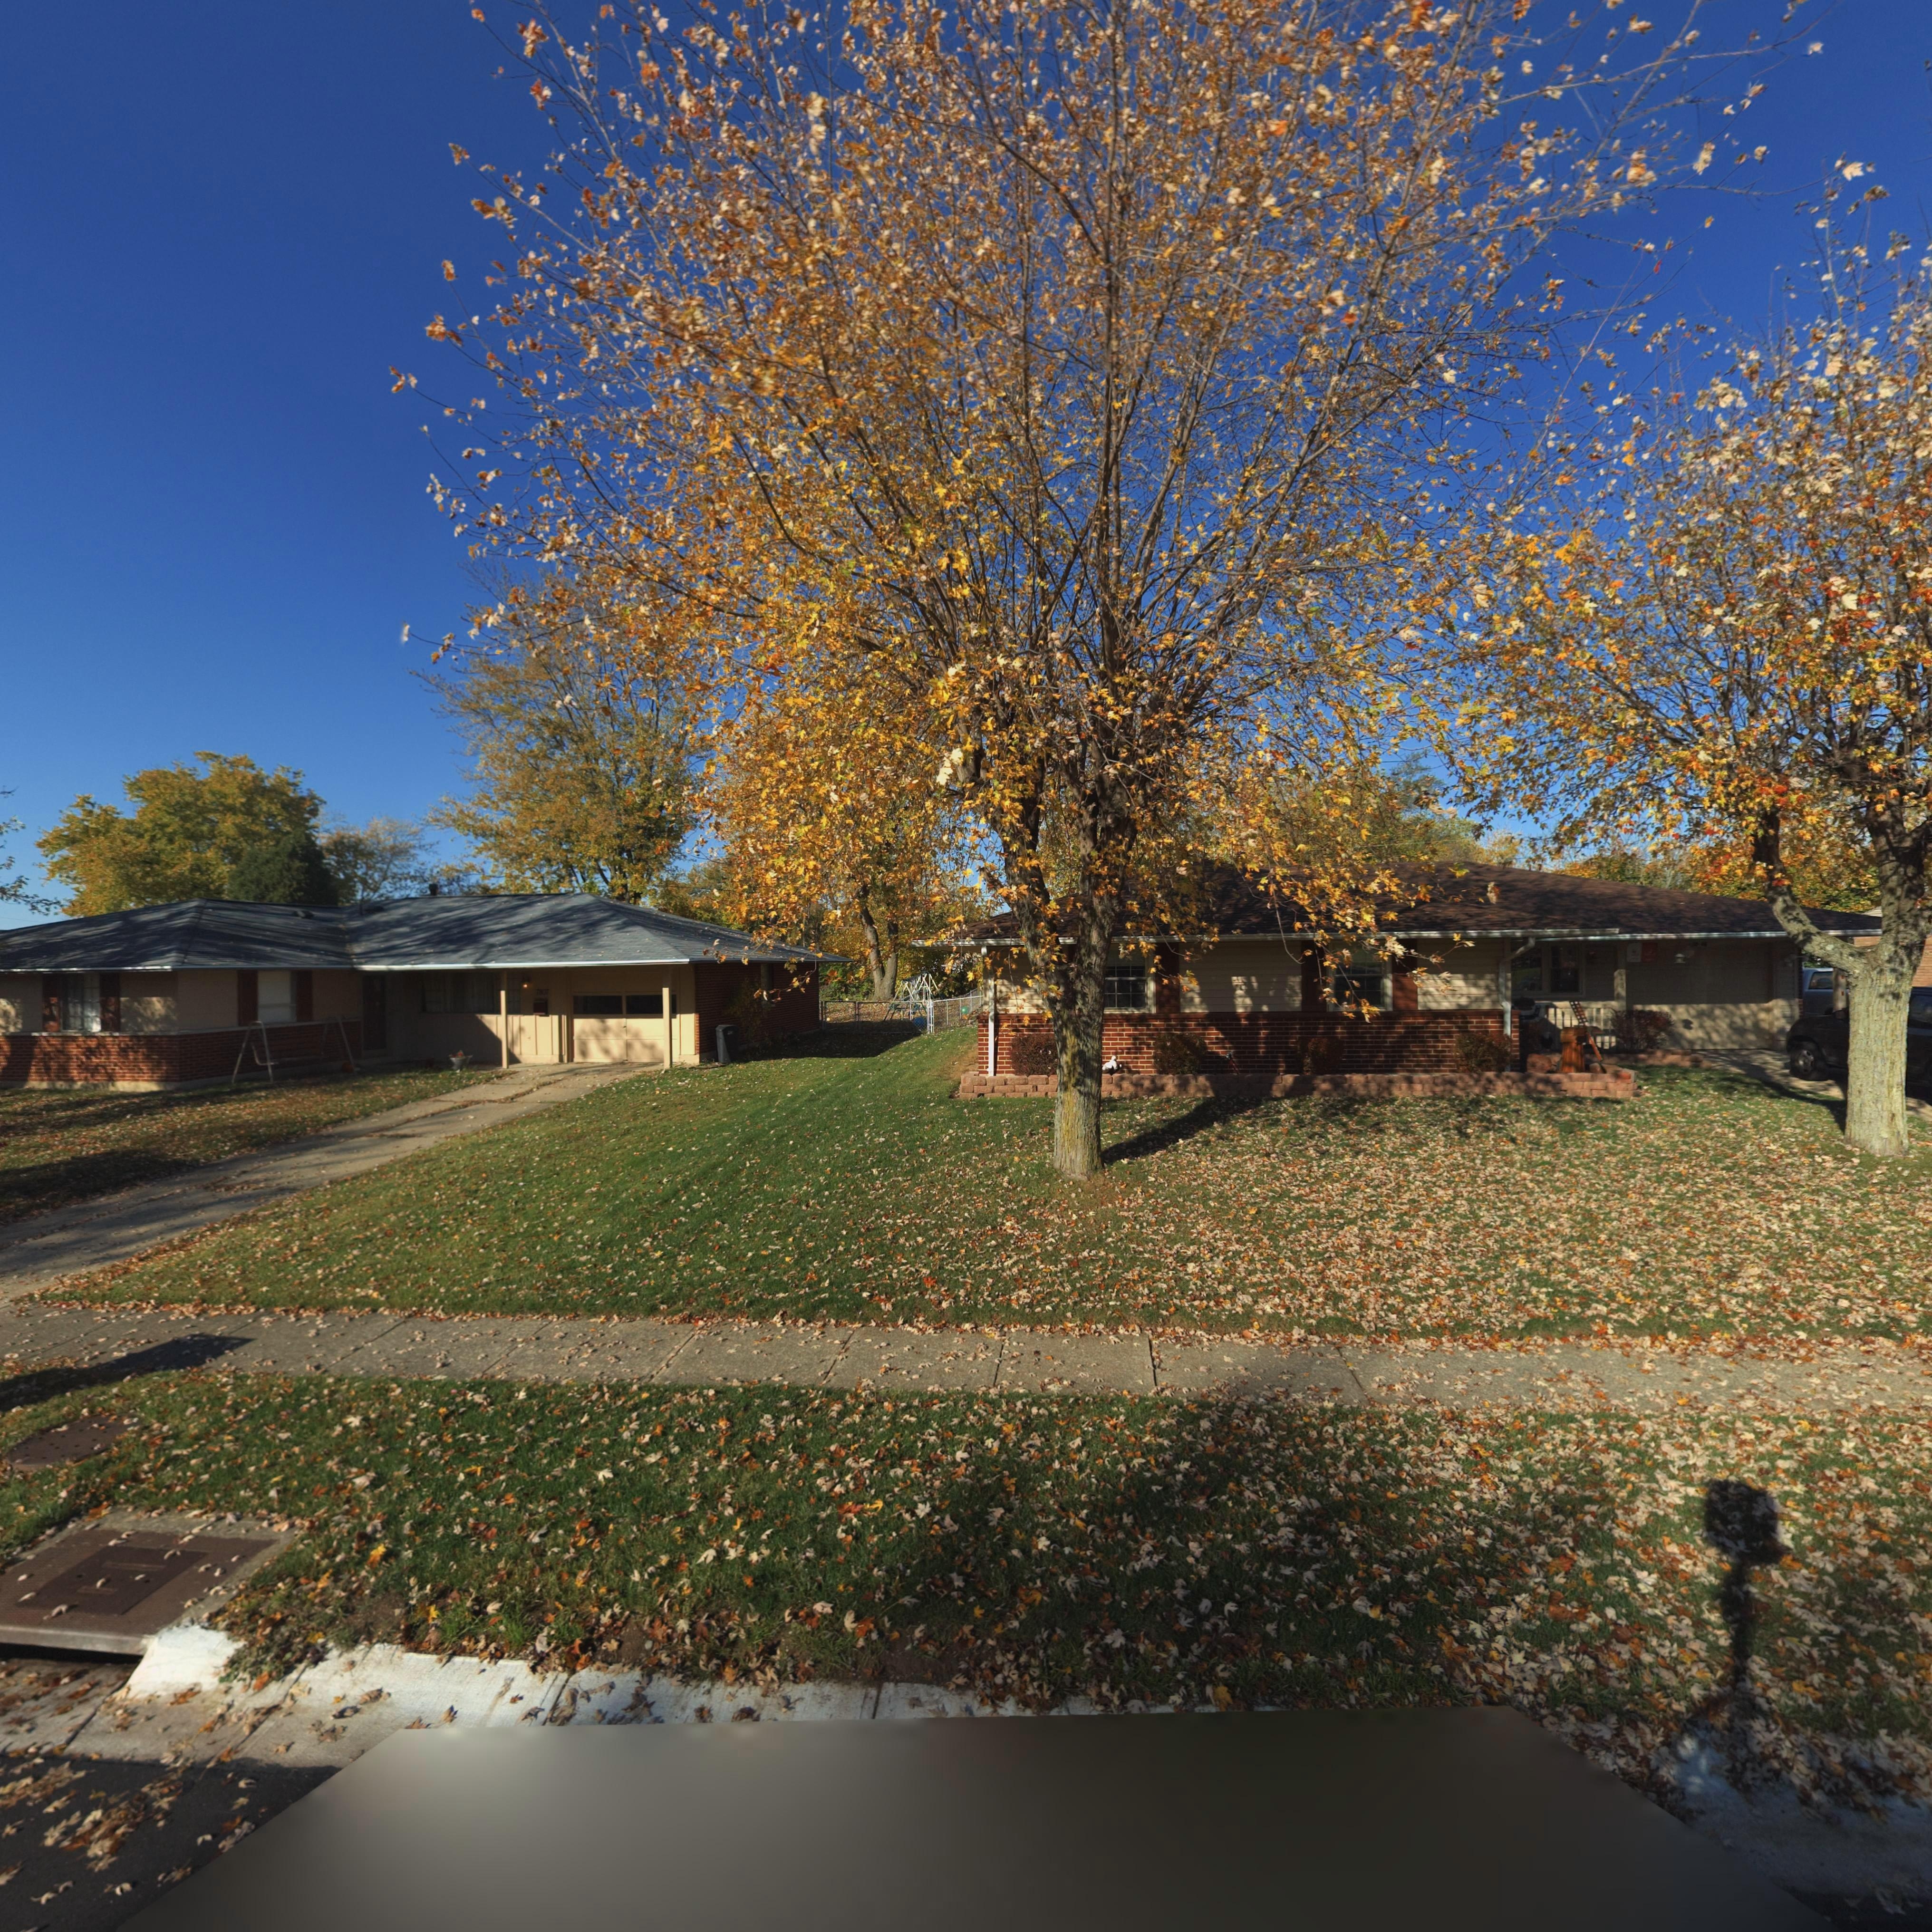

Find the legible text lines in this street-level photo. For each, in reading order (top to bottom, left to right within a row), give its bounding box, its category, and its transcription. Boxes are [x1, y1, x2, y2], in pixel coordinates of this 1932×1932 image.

[1618, 973, 1625, 990] StreetNumber: 13
[535, 988, 551, 996] StreetNumber: 7*07